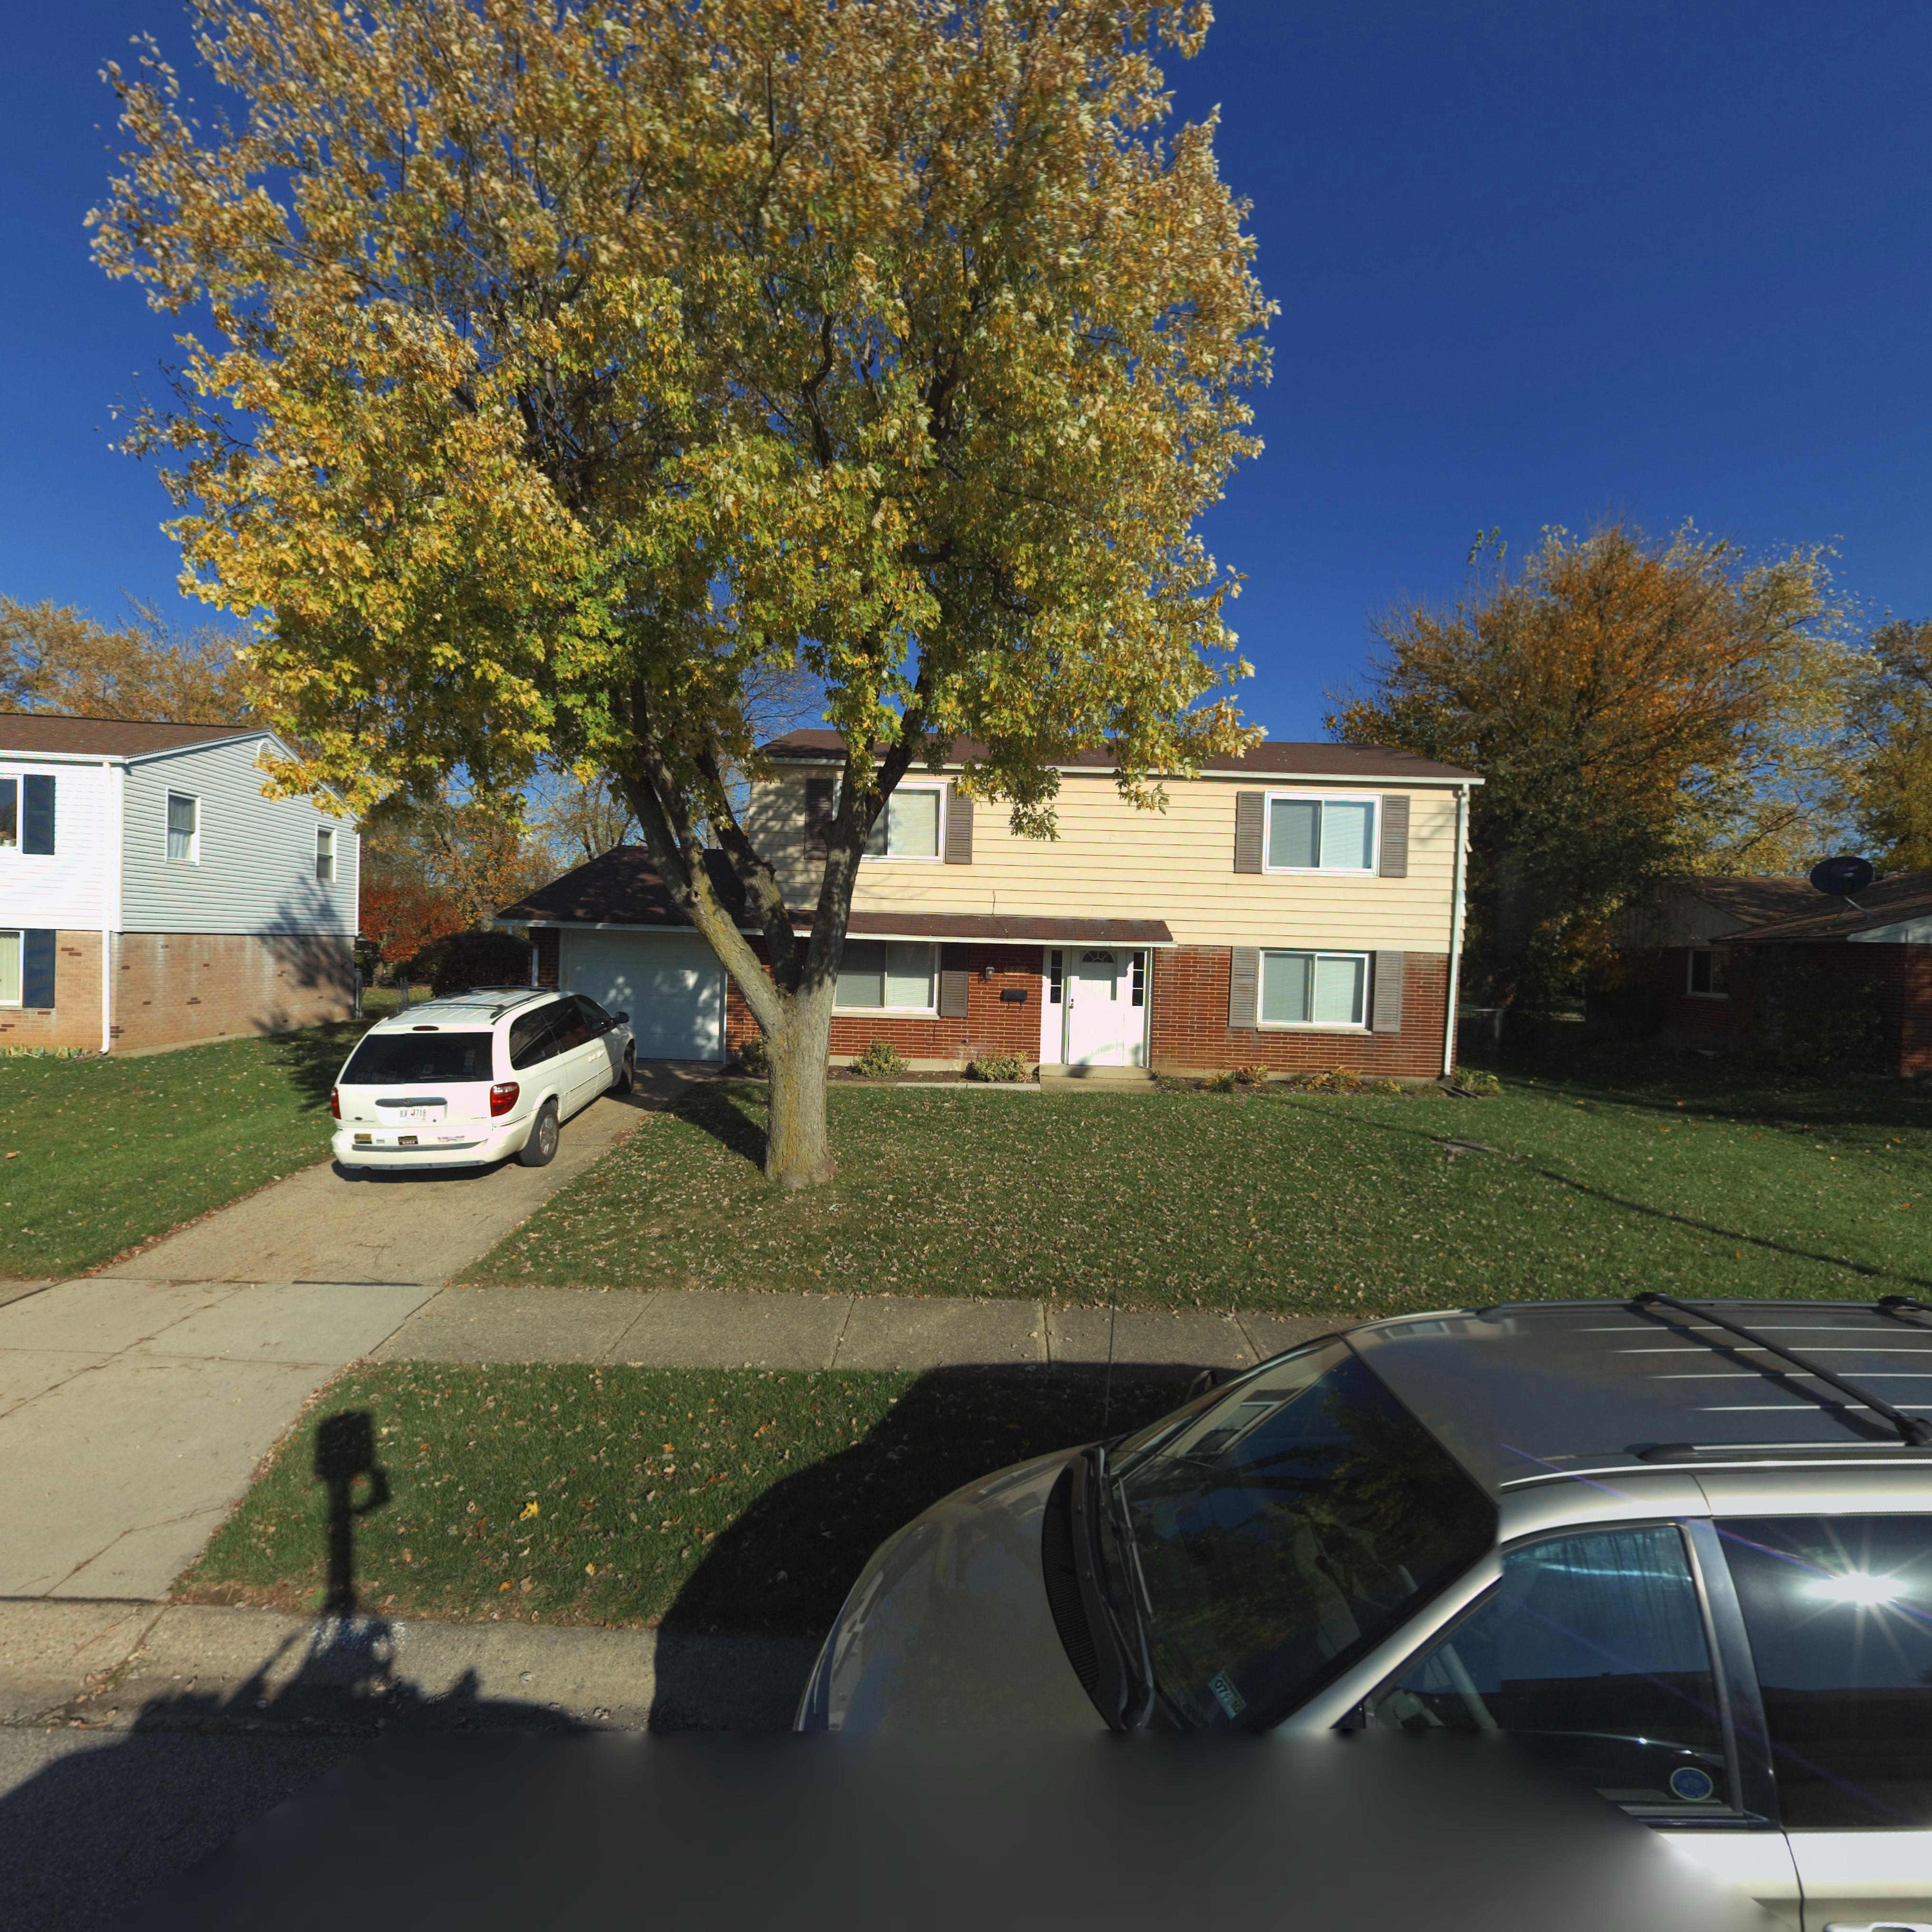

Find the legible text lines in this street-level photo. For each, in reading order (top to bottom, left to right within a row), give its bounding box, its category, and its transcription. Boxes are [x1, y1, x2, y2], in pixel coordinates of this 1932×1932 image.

[1006, 966, 1028, 975] StreetNumber: 7913